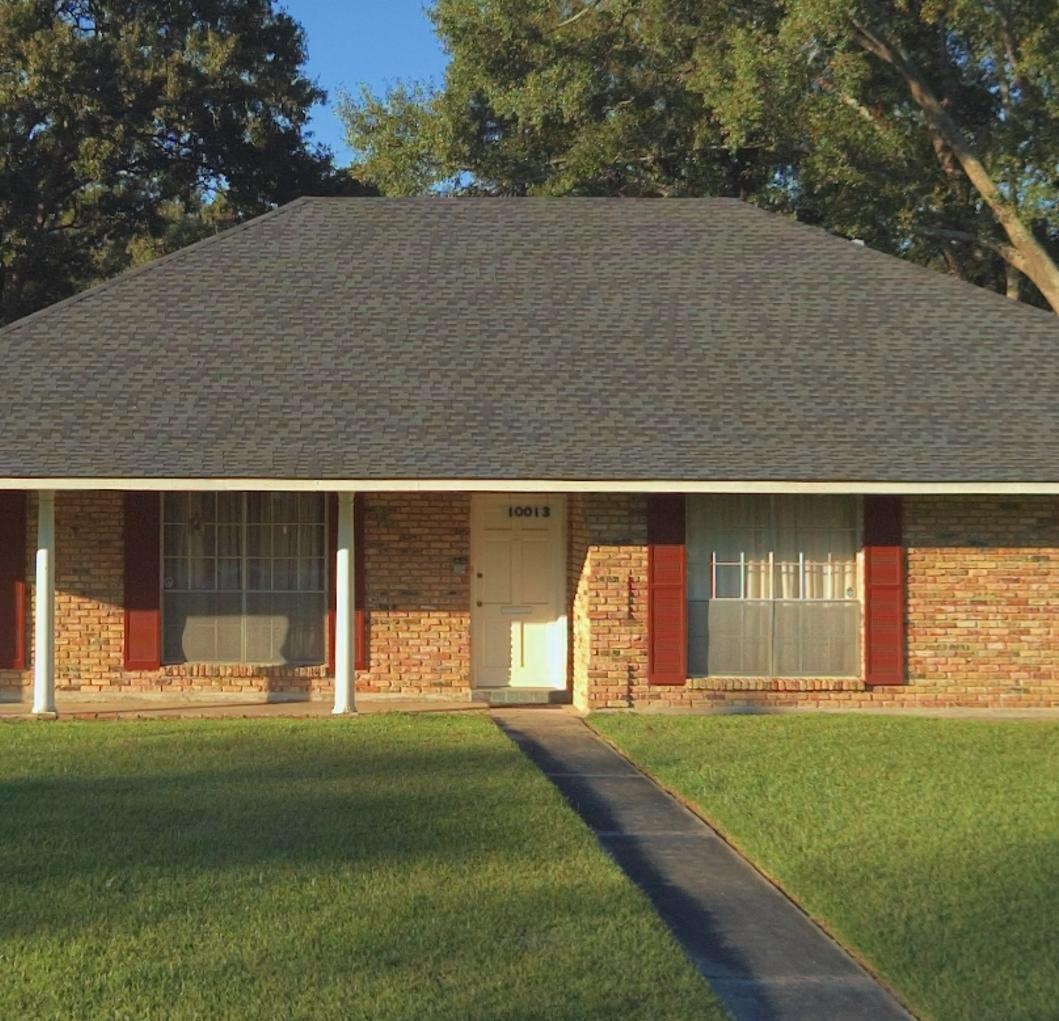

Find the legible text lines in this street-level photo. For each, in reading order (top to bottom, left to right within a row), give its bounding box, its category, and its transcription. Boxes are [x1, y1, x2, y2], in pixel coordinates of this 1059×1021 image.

[506, 504, 552, 519] StreetNumber: 10013